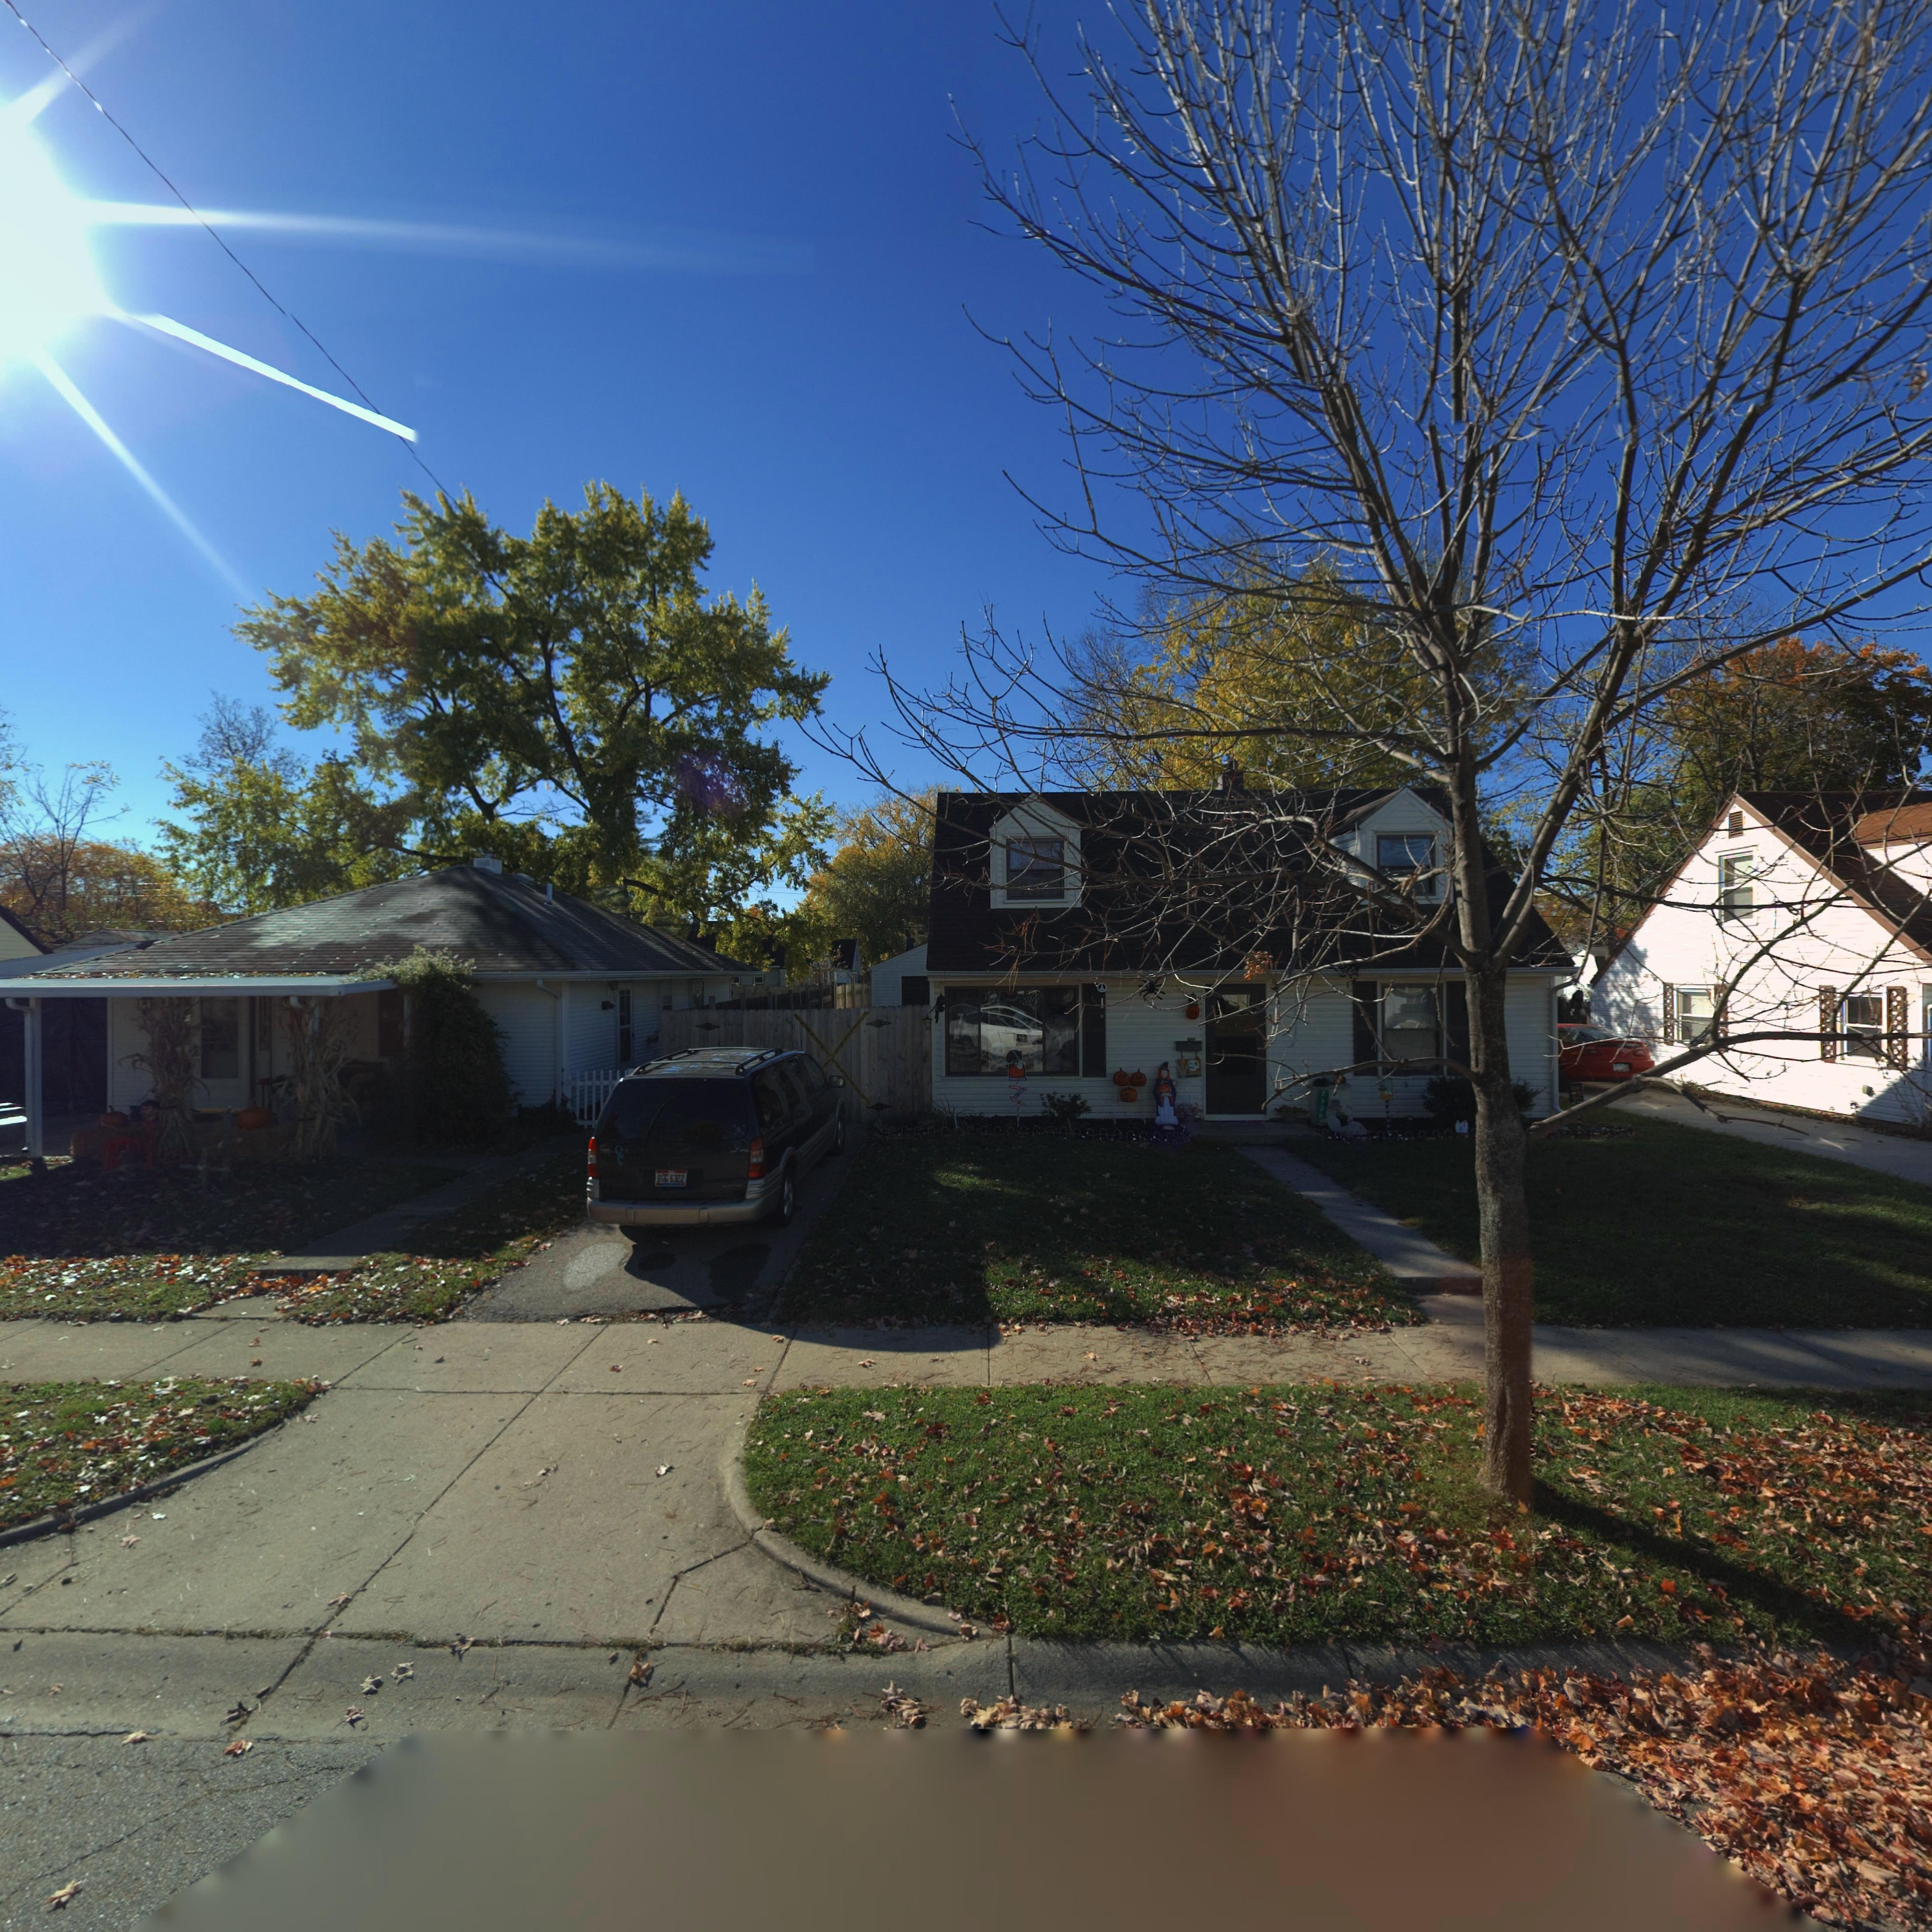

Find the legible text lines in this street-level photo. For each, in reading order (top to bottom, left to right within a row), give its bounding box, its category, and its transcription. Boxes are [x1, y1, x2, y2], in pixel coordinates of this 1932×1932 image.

[1318, 1090, 1327, 1120] StreetNumber: 2*36